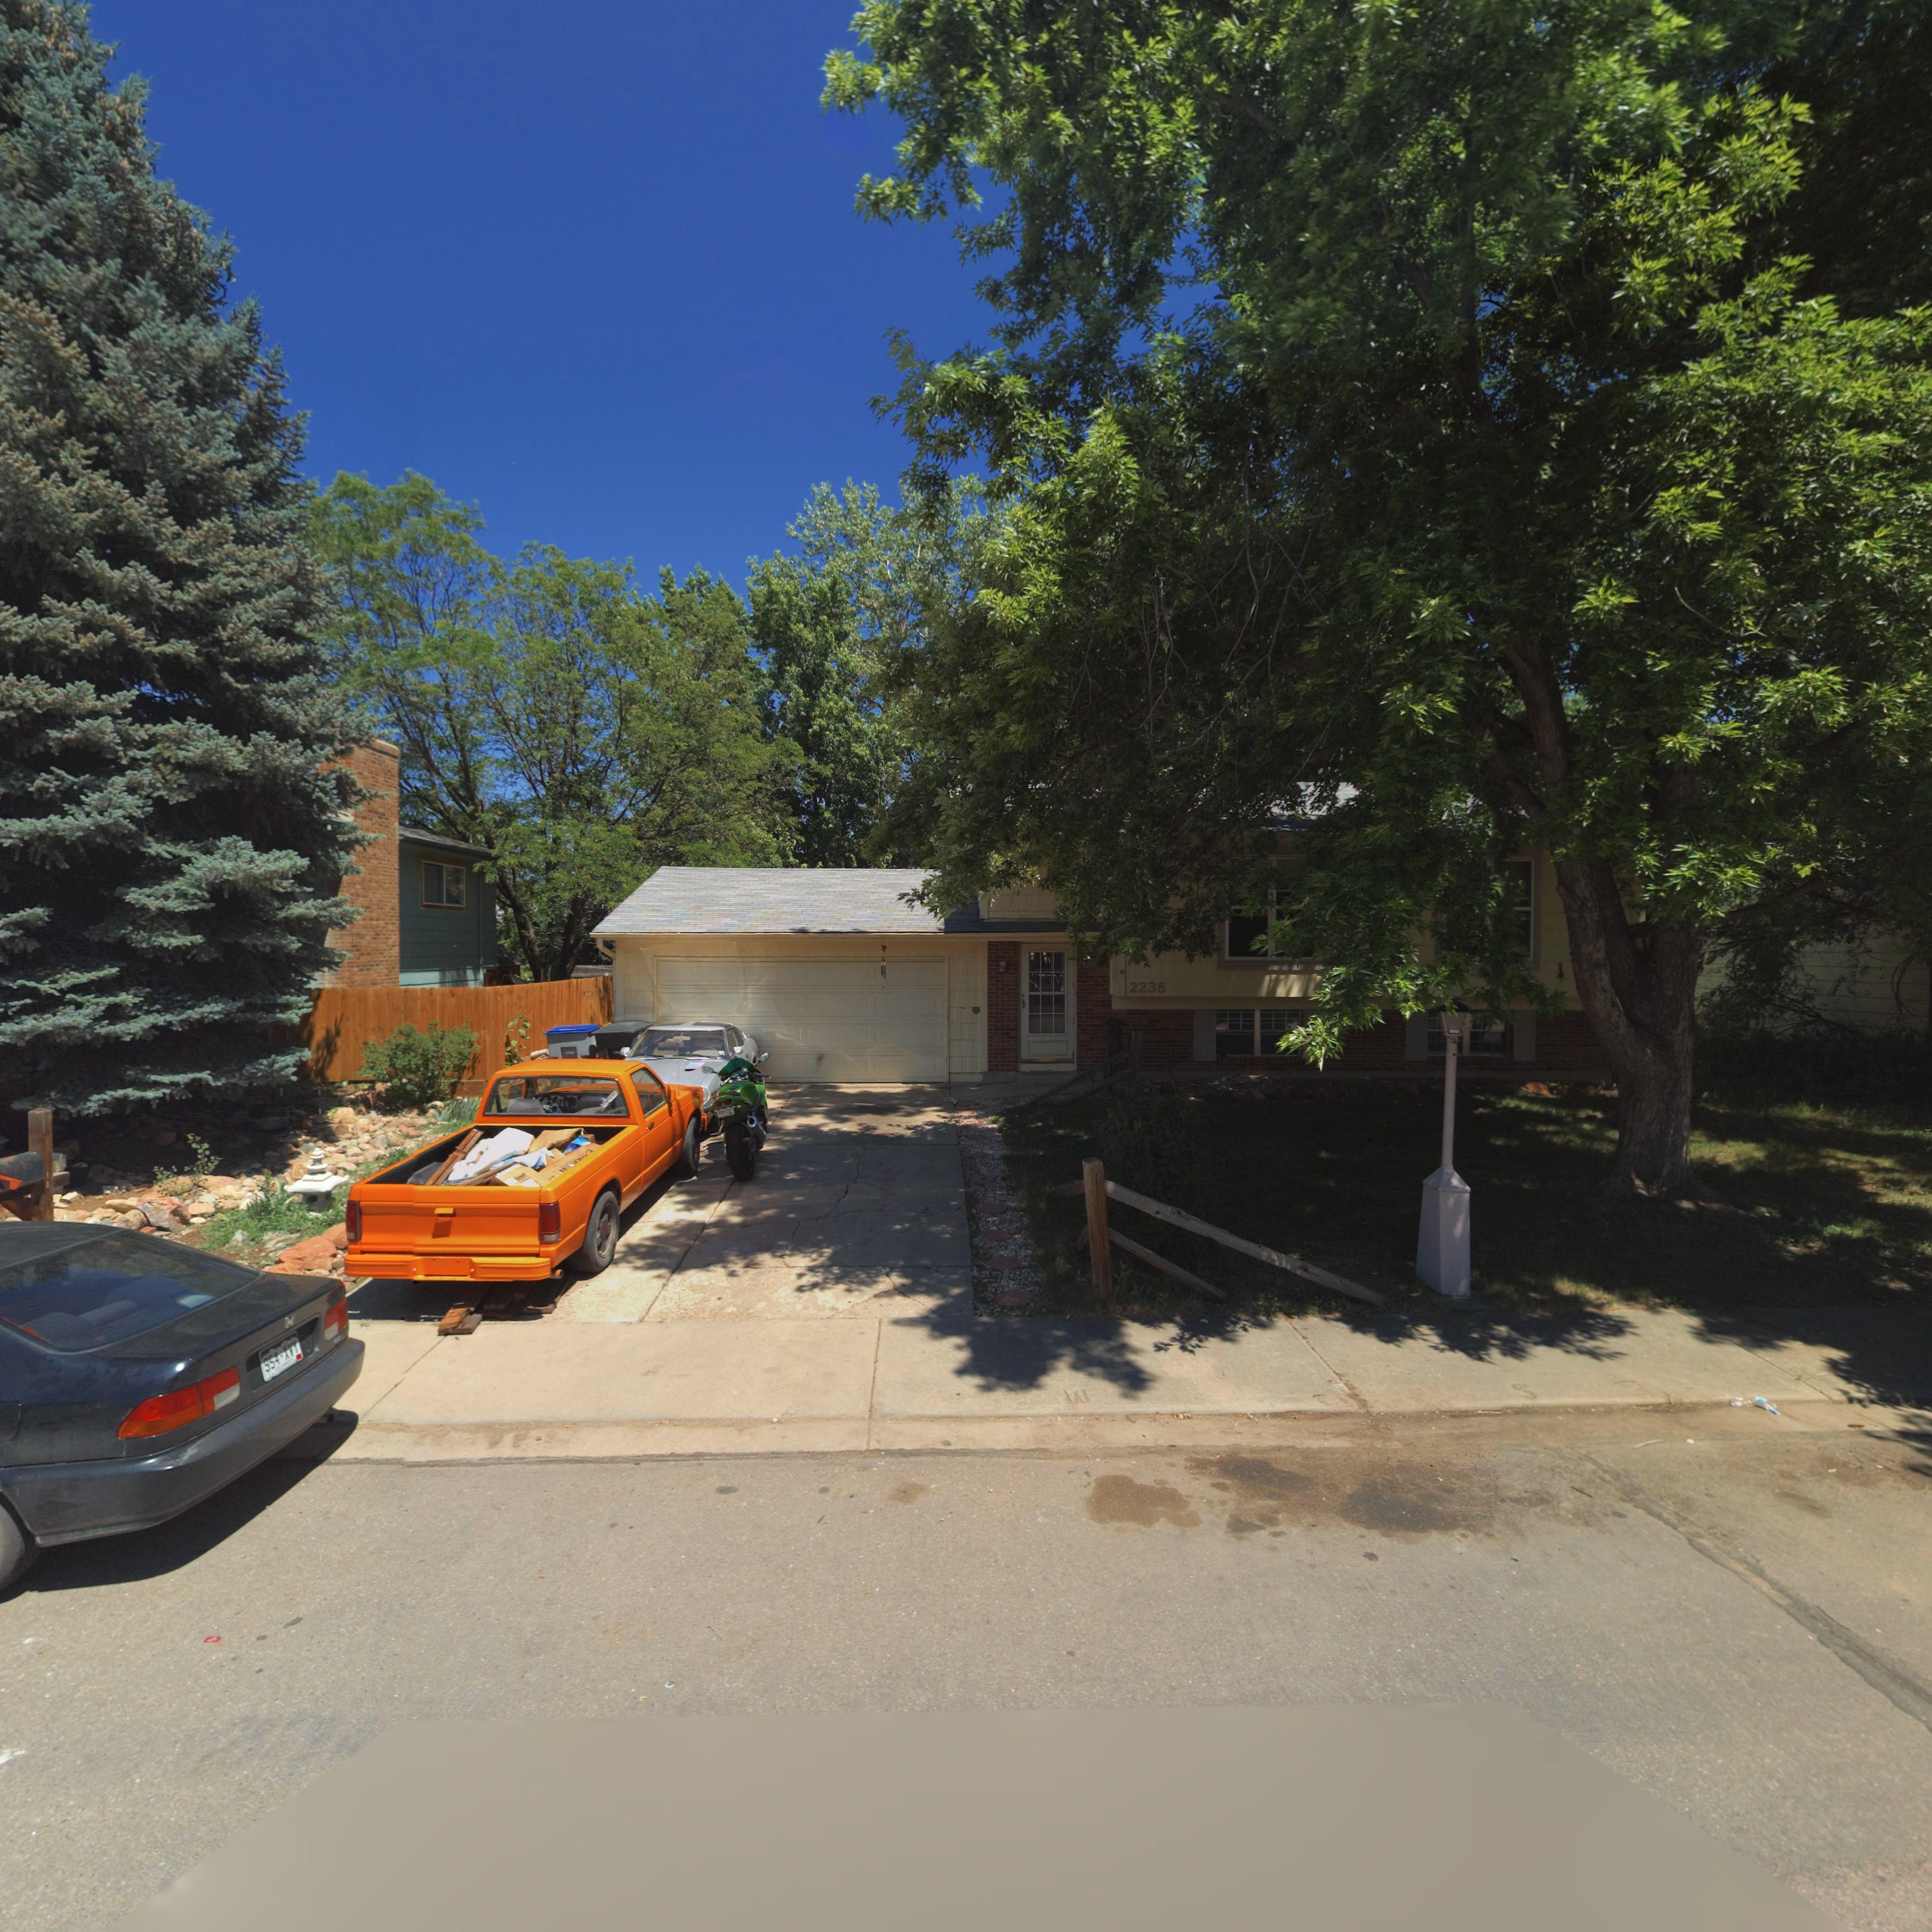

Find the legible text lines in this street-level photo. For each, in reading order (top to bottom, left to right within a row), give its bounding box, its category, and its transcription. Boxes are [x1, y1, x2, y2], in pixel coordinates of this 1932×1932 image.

[1128, 981, 1166, 993] StreetNumber: 2236